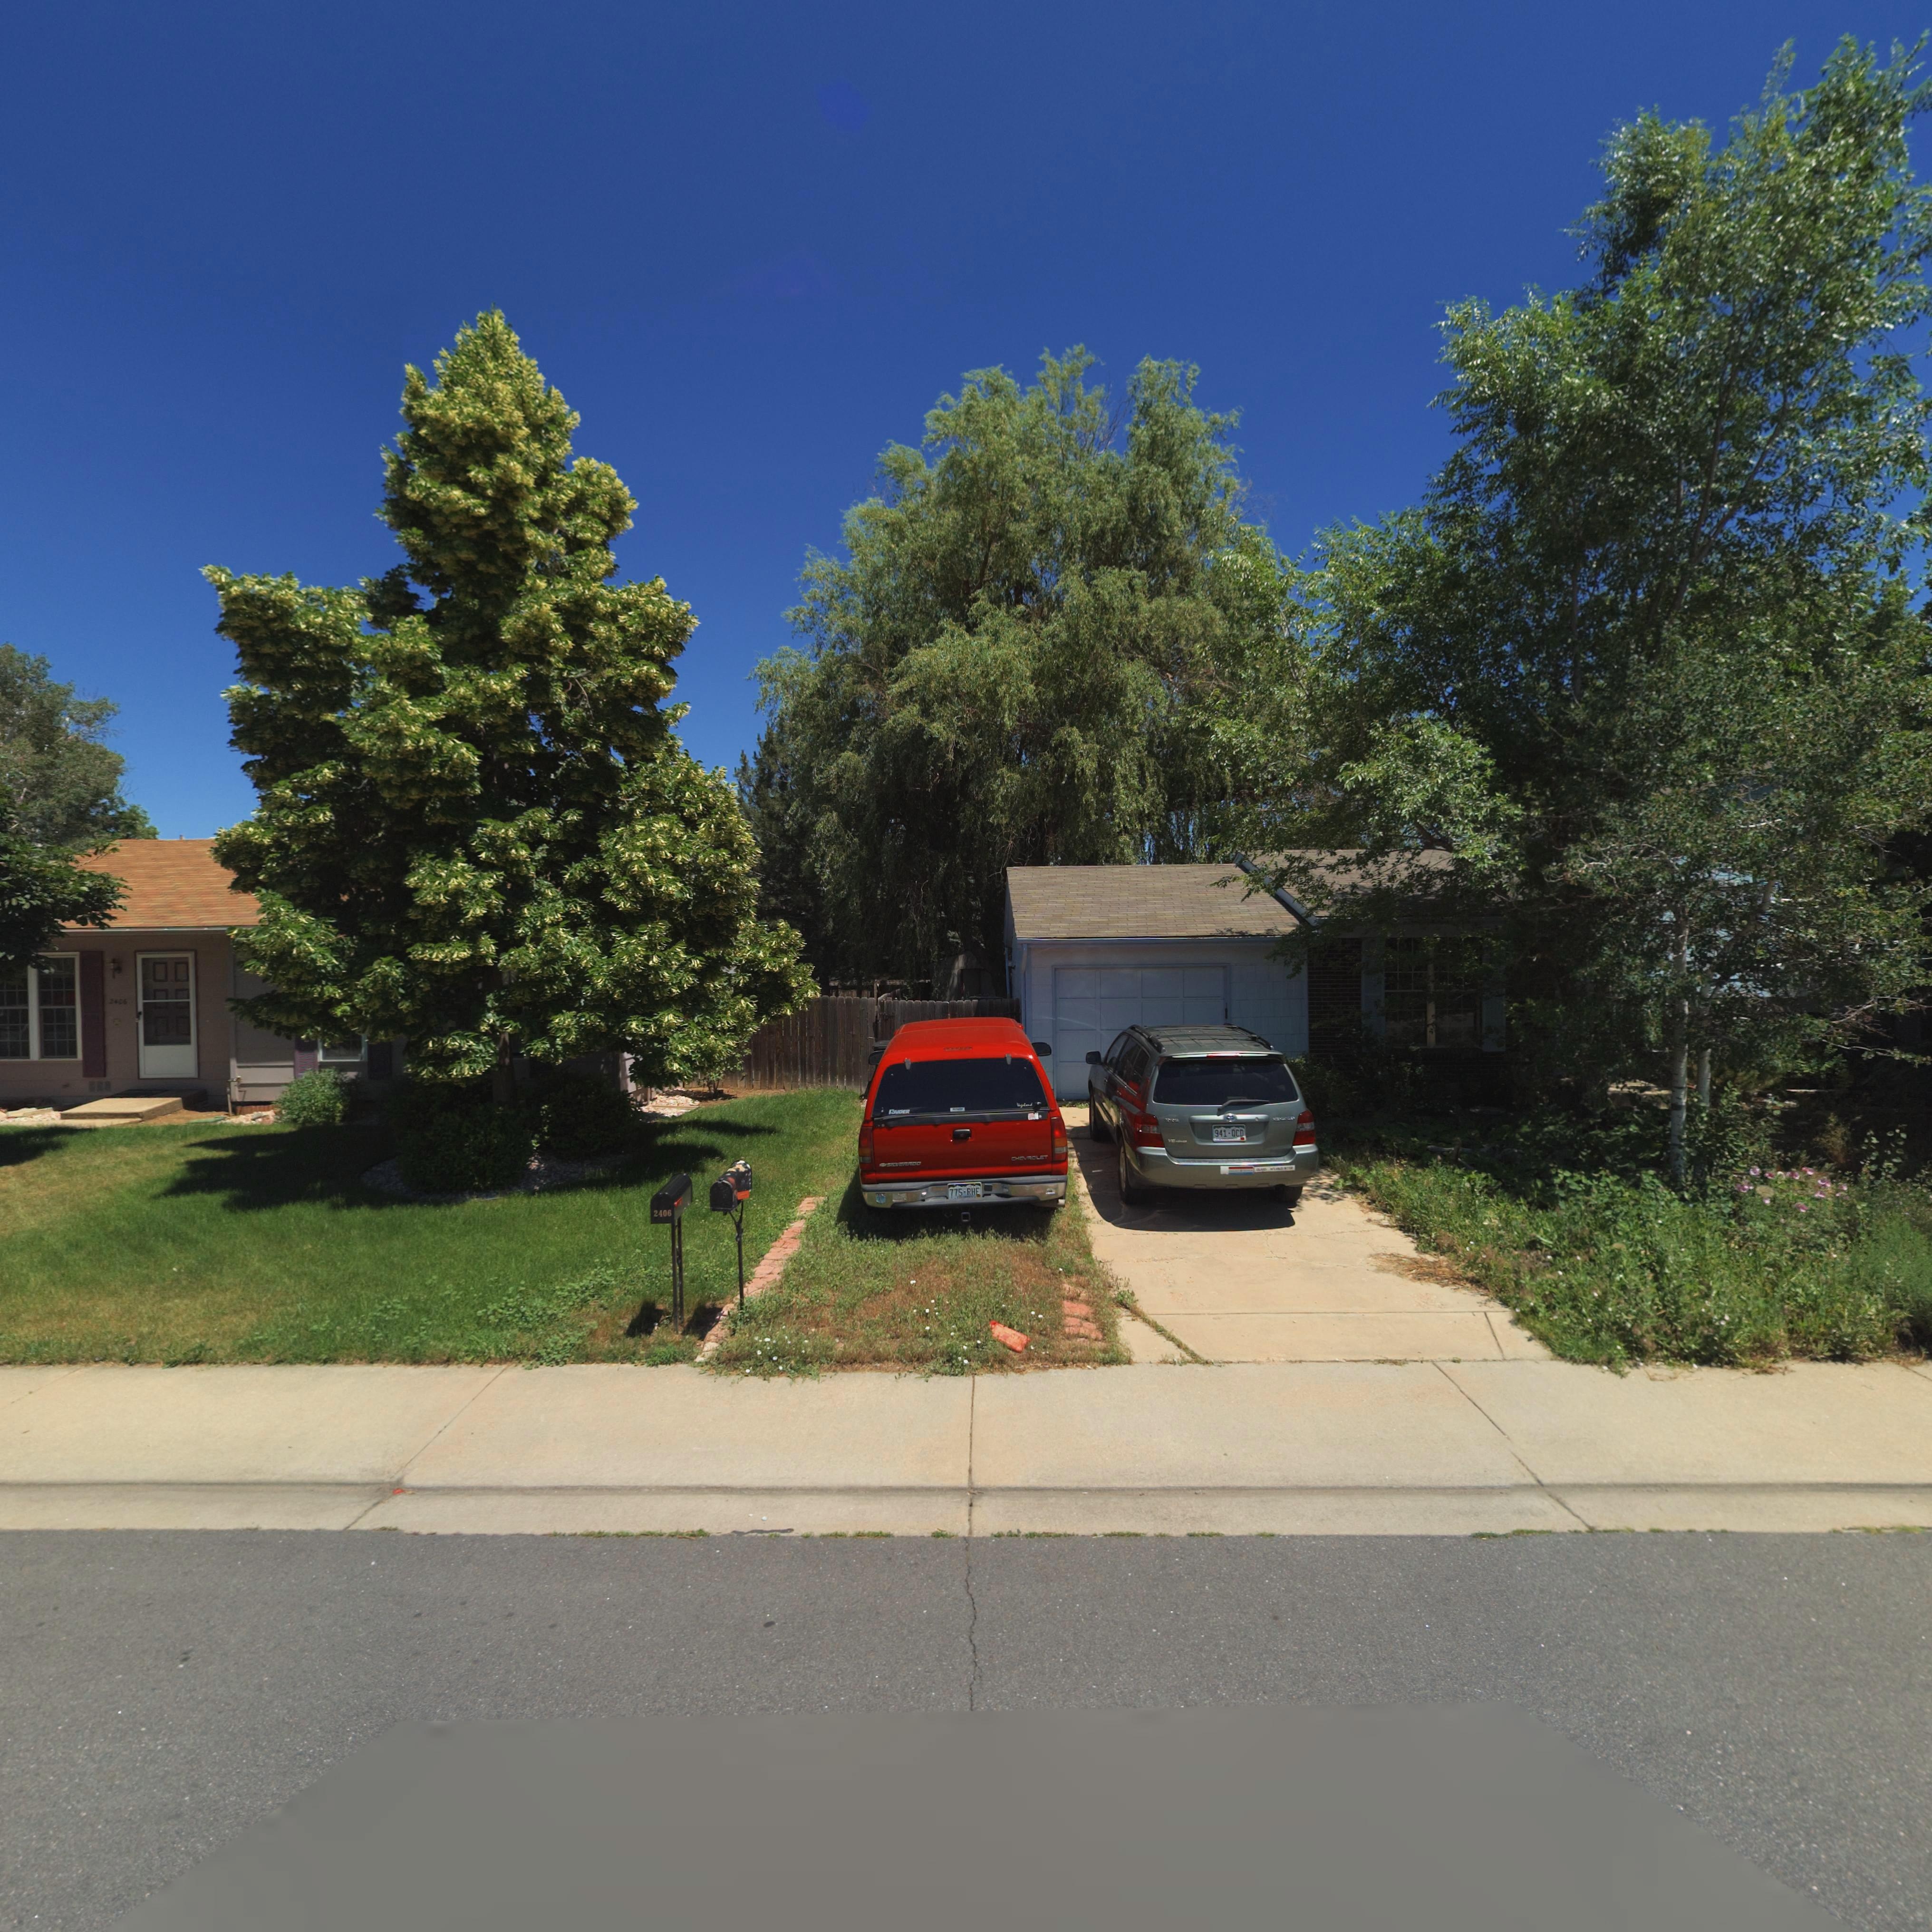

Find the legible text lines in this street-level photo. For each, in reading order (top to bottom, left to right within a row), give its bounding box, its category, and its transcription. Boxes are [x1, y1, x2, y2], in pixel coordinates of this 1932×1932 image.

[108, 998, 127, 1005] StreetNumber: 2406
[653, 1209, 671, 1217] StreetNumber: 2406